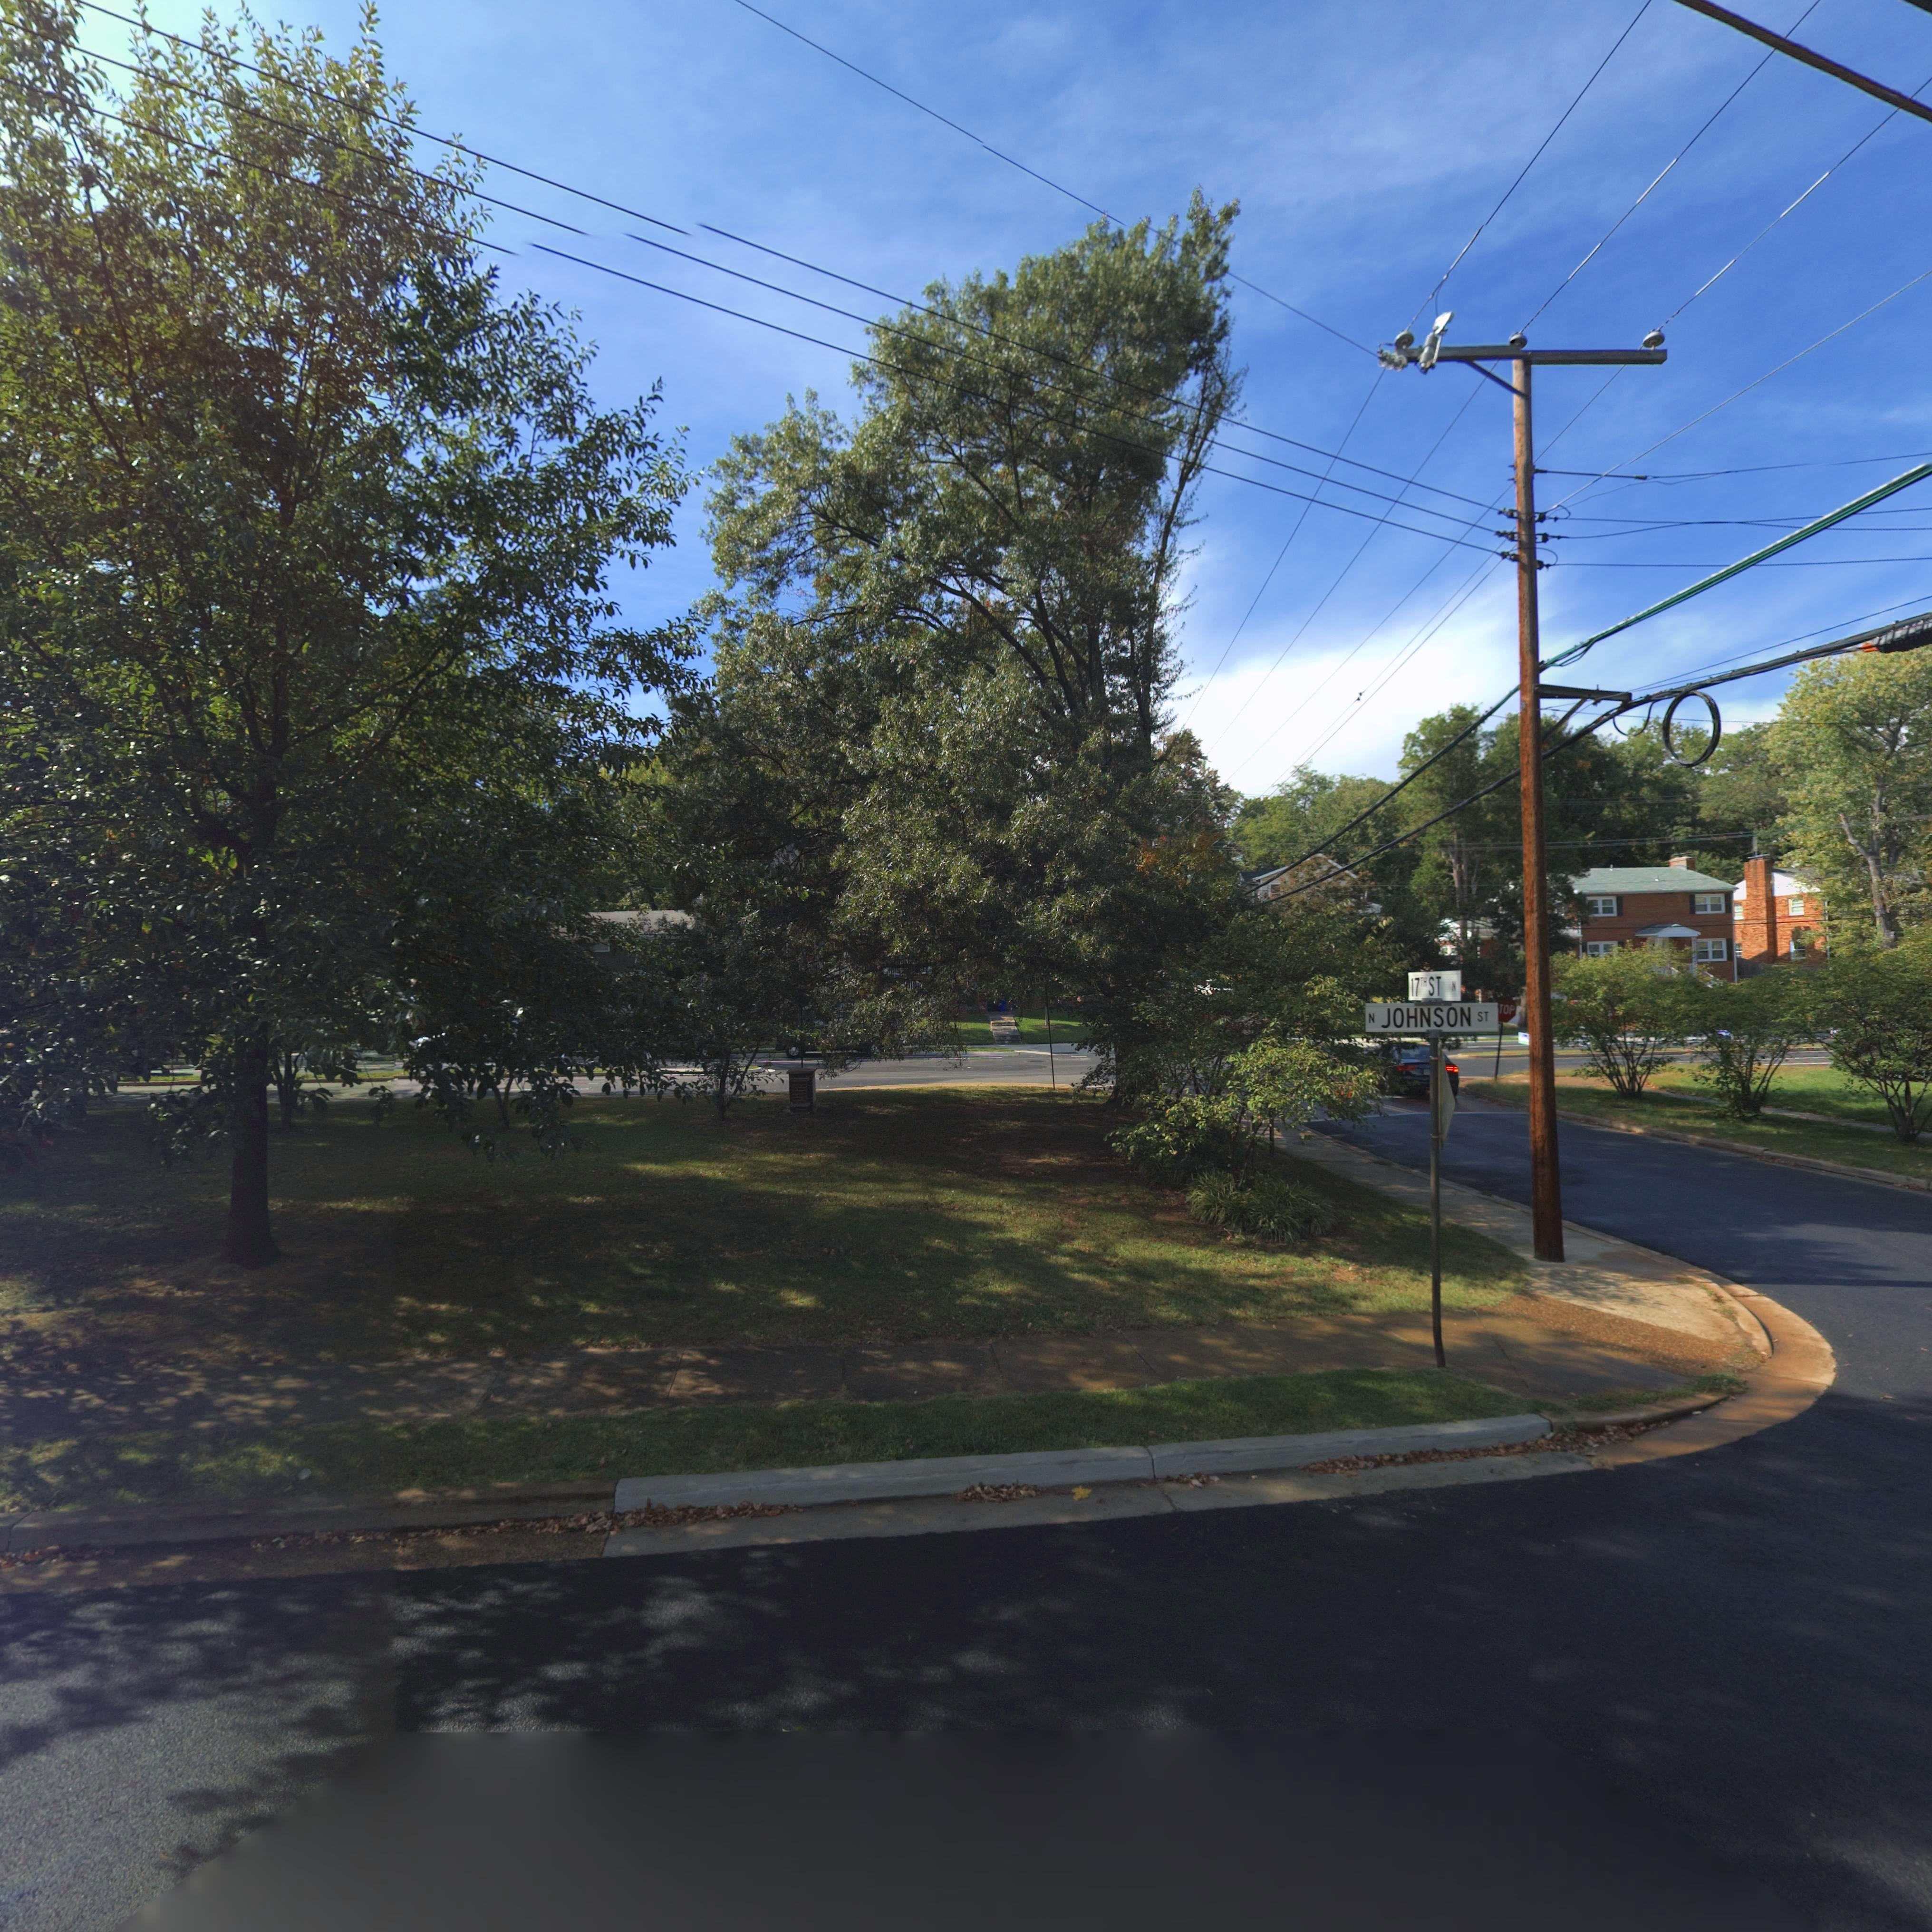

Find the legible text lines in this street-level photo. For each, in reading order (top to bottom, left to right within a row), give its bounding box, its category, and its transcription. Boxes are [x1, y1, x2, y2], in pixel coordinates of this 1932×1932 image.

[1409, 975, 1458, 998] StreetName: 17TH ST N
[1367, 1005, 1490, 1030] StreetName: N JONHSON ST
[1497, 1003, 1516, 1015] None: TOP